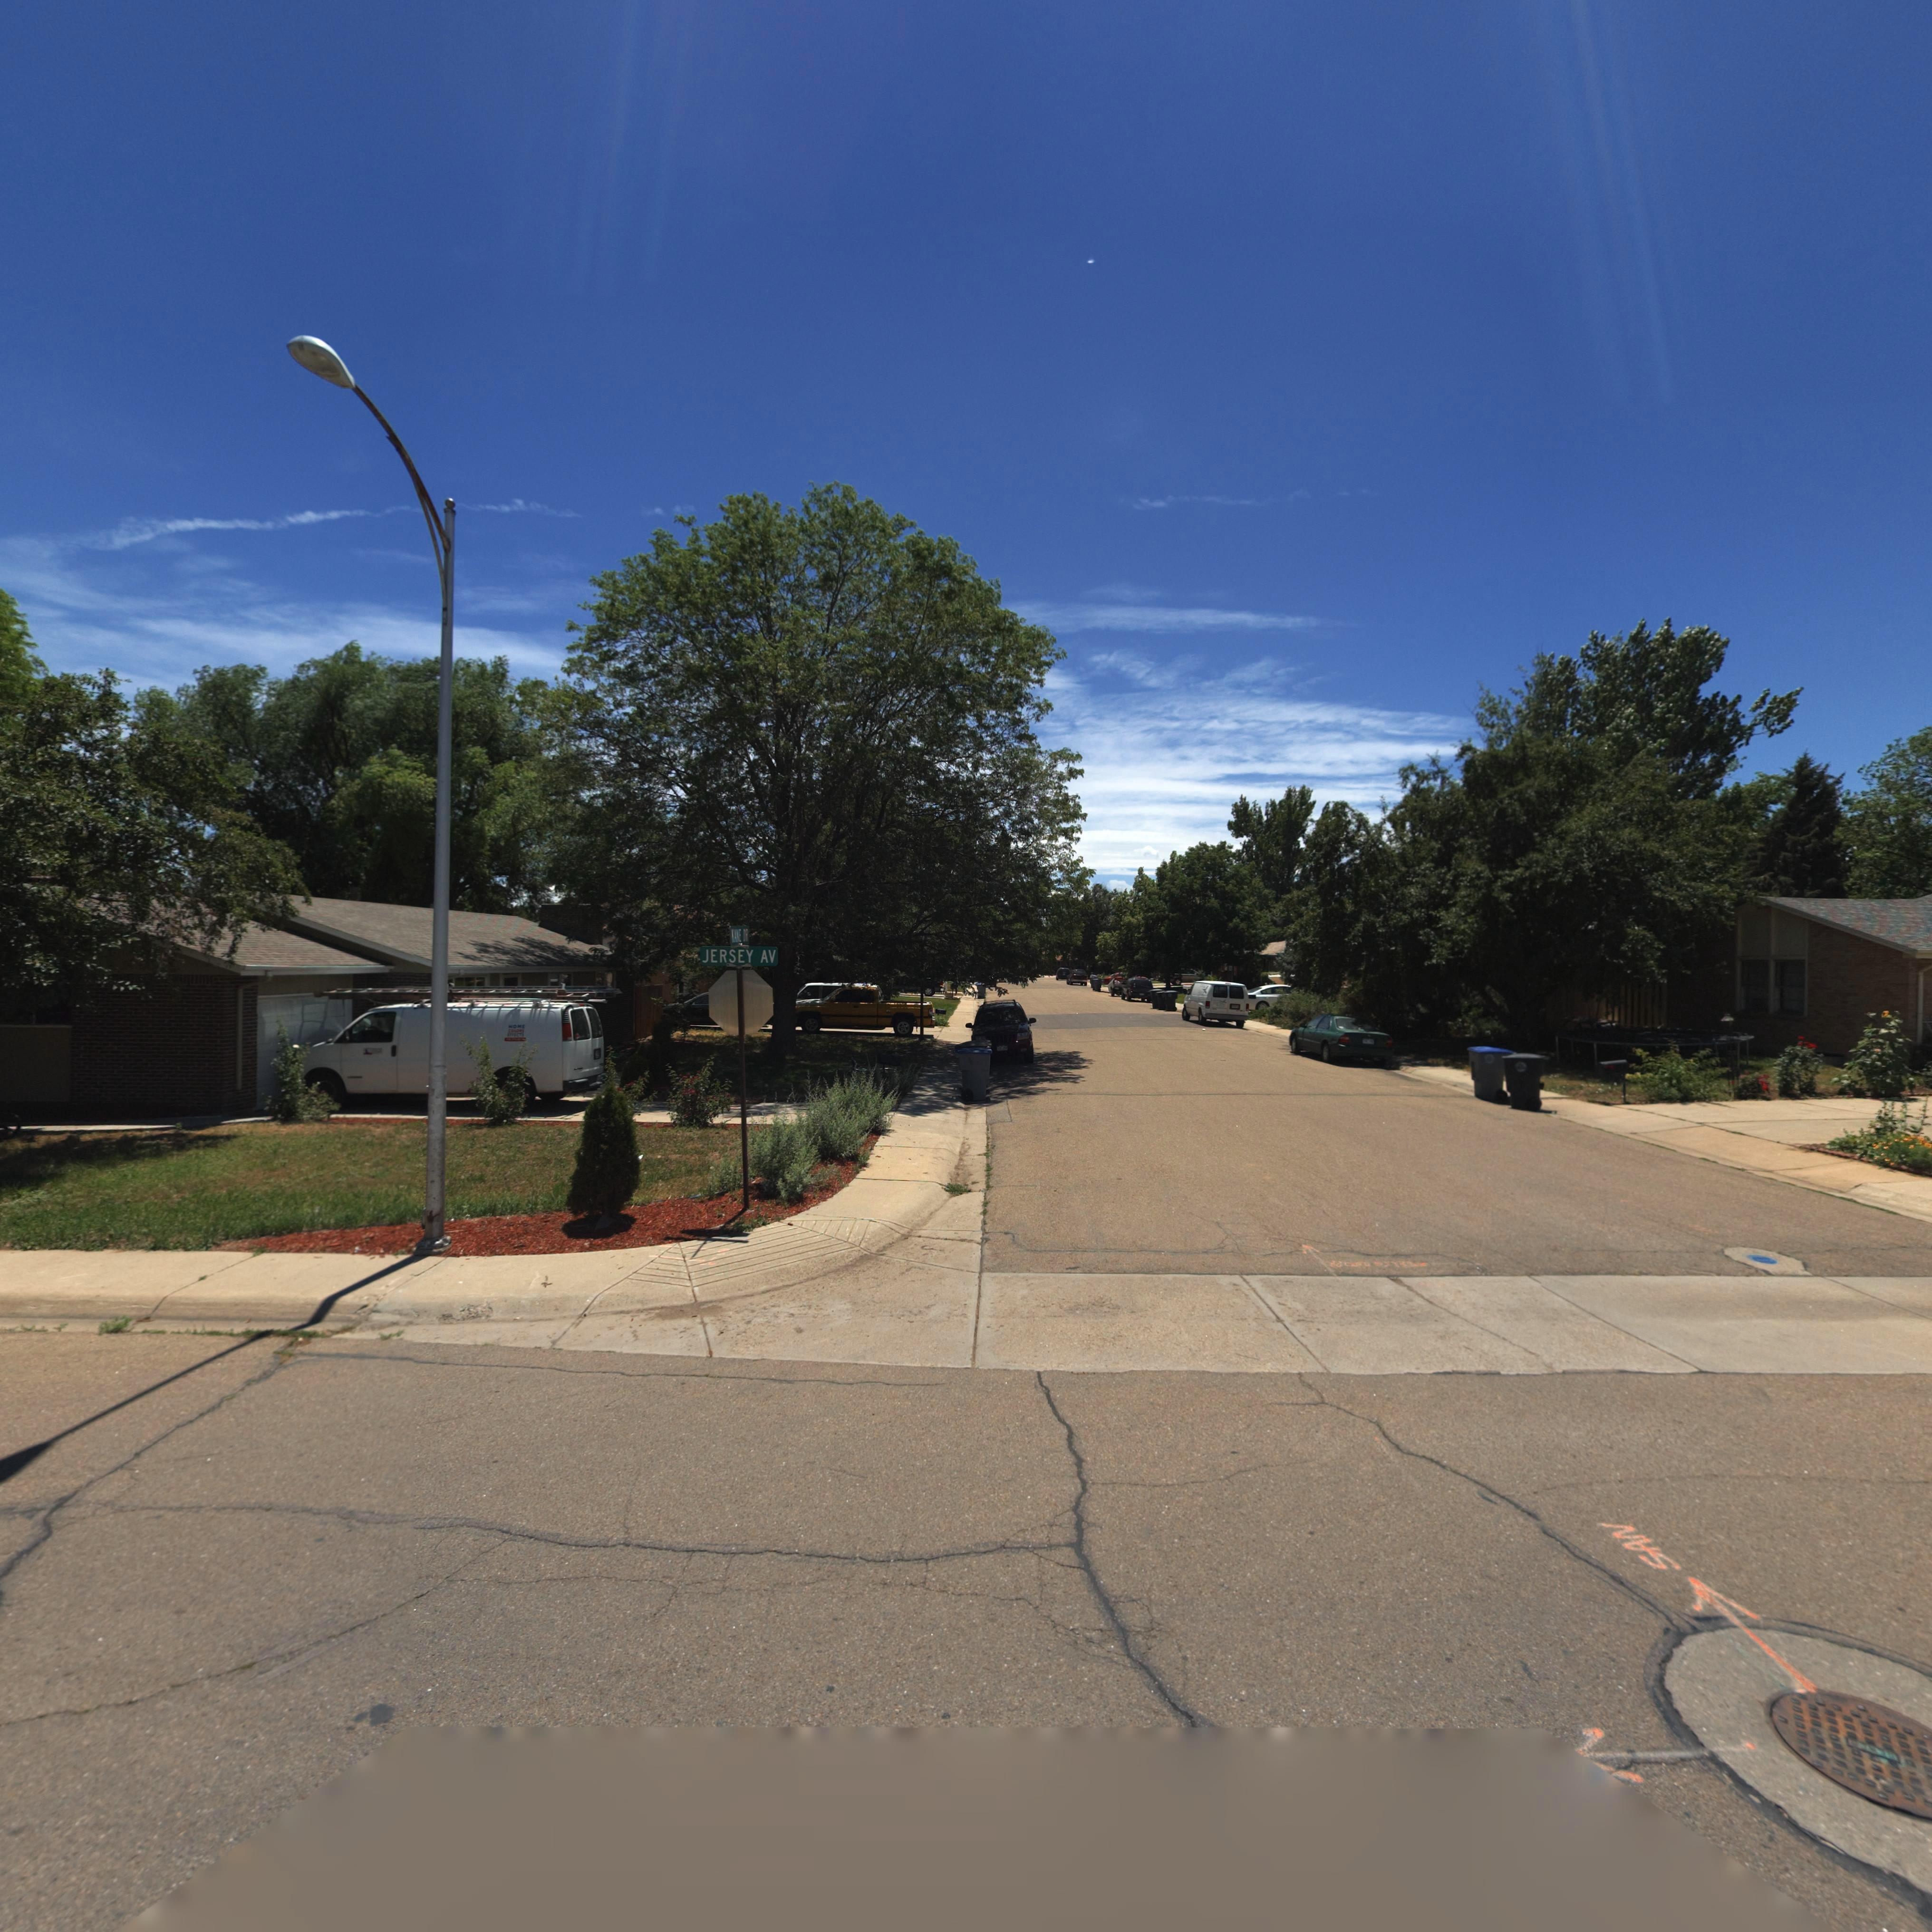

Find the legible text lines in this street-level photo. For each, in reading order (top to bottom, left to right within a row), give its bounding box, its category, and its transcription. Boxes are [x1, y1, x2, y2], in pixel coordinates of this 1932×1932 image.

[731, 928, 748, 943] StreetName: KANE DR
[702, 948, 777, 963] StreetName: JERSEY AV